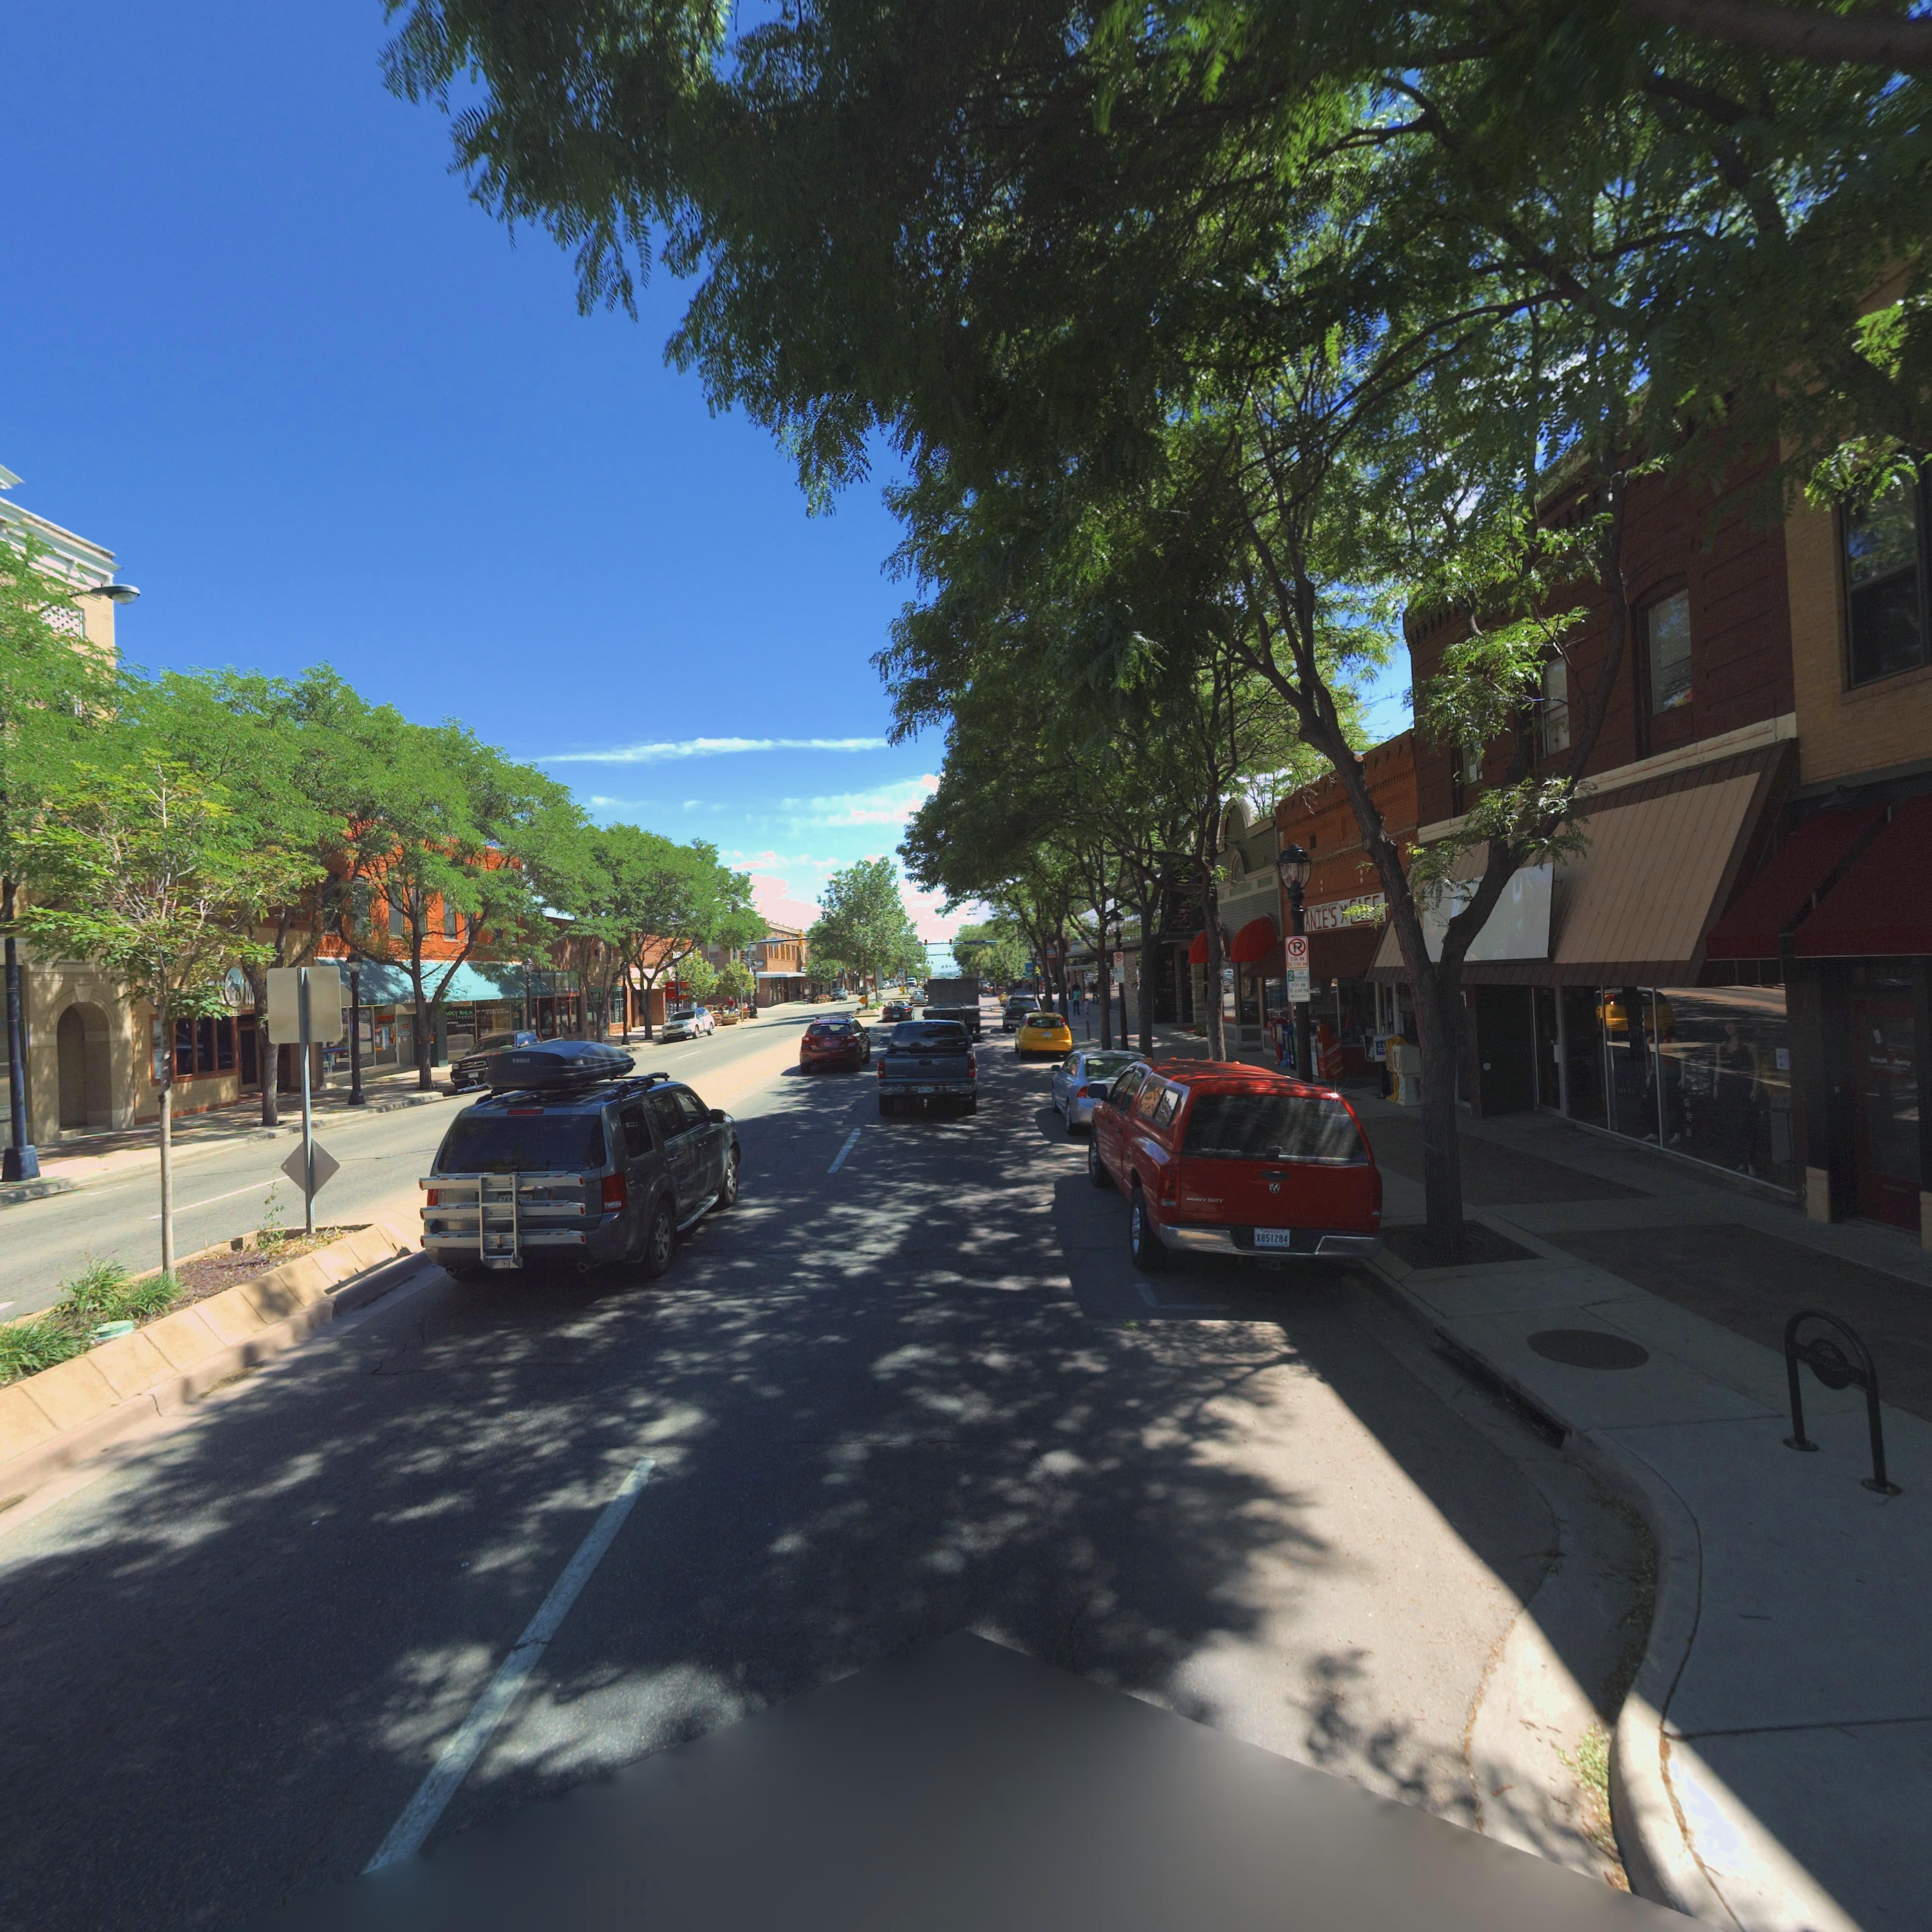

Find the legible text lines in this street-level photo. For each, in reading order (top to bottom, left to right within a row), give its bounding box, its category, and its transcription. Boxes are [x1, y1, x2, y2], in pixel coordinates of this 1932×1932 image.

[1305, 905, 1338, 932] BusinessName: ANIE'S
[447, 1009, 473, 1017] BusinessName: PLY BULK